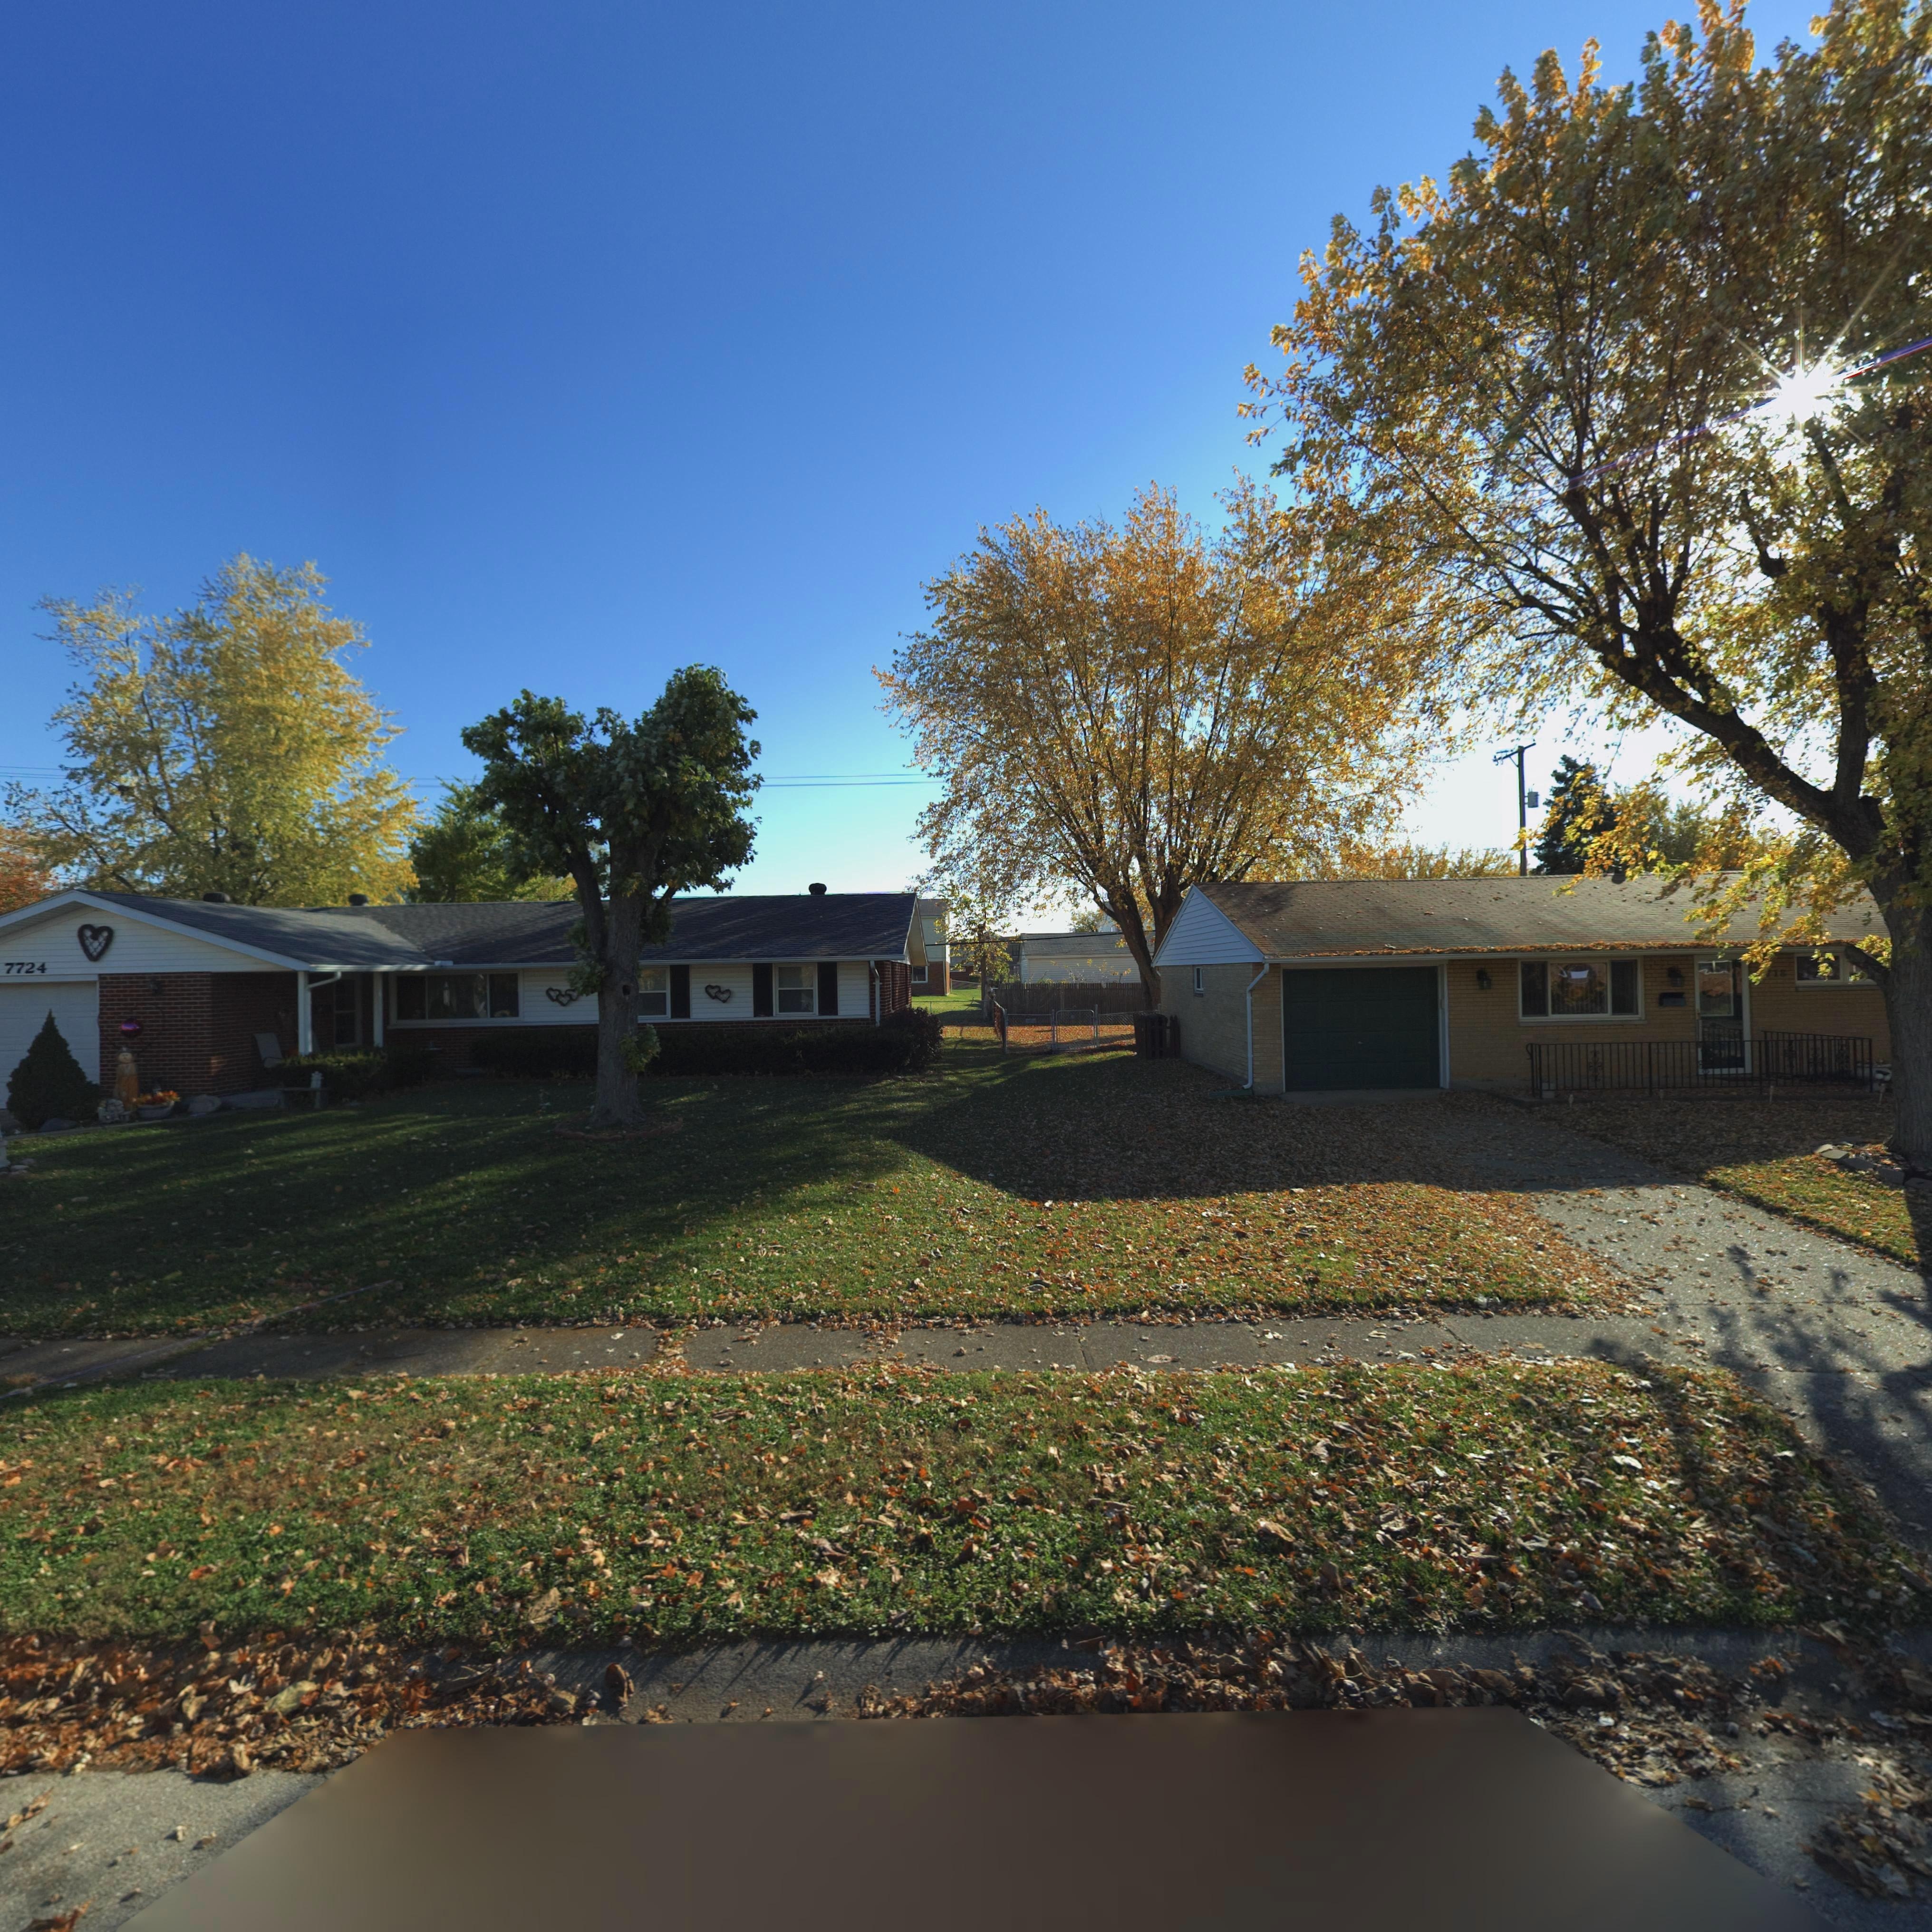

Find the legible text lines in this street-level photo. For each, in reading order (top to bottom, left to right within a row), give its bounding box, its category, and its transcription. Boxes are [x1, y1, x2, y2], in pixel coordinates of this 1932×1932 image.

[3, 961, 48, 975] StreetNumber: 7724
[1772, 967, 1788, 979] StreetNumber: 18